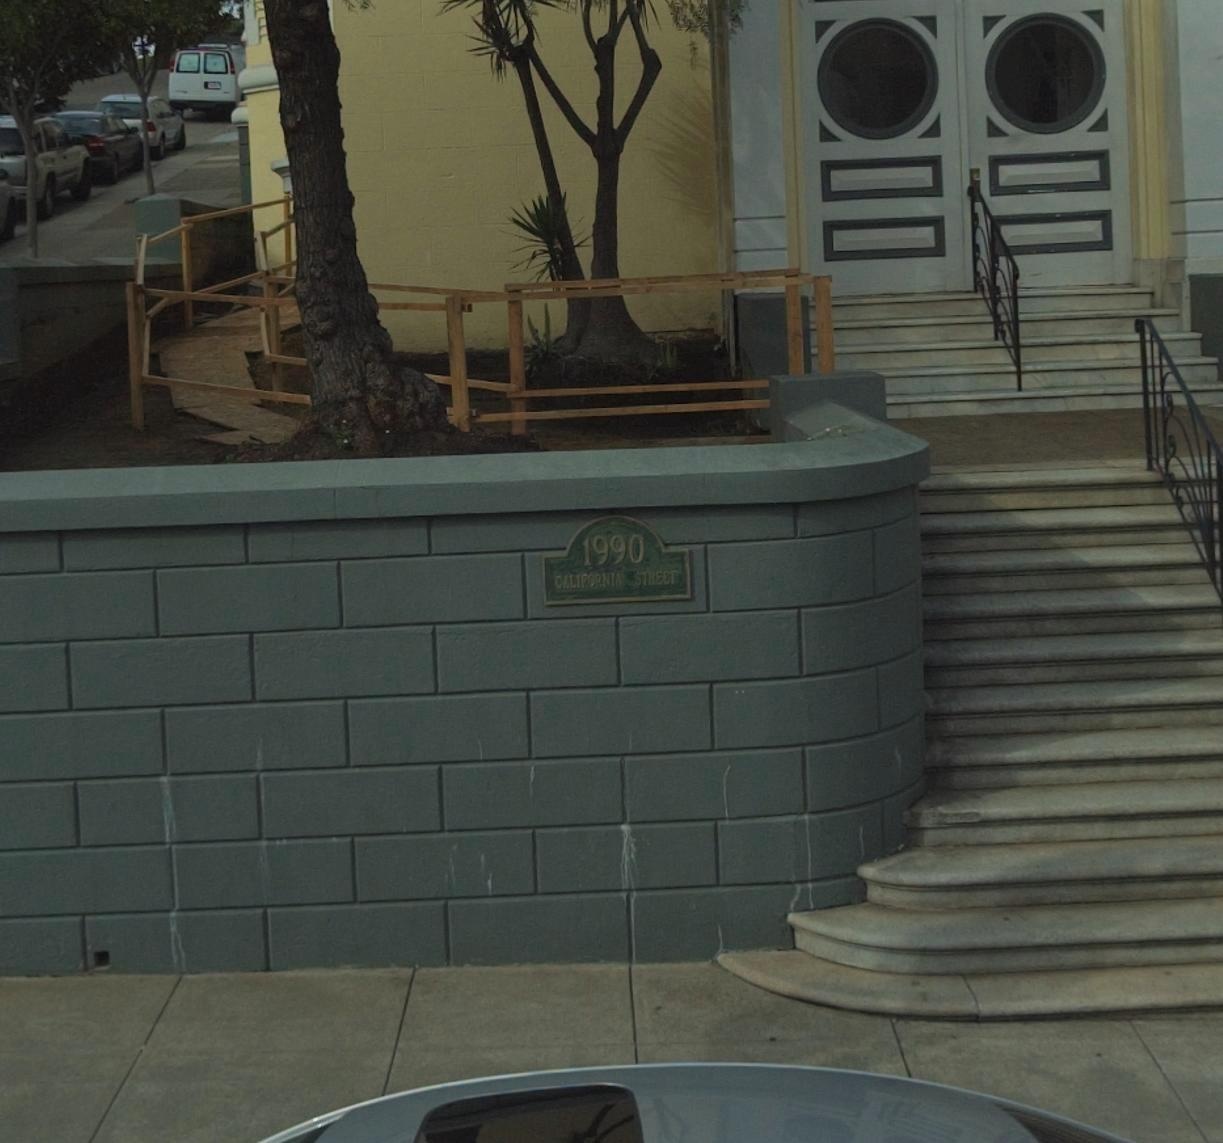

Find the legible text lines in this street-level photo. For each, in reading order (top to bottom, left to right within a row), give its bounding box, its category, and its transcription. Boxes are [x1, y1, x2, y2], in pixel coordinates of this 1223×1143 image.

[580, 530, 648, 569] StreetNumber: 1990
[550, 567, 681, 592] StreetName: CALIFORNIA STREET